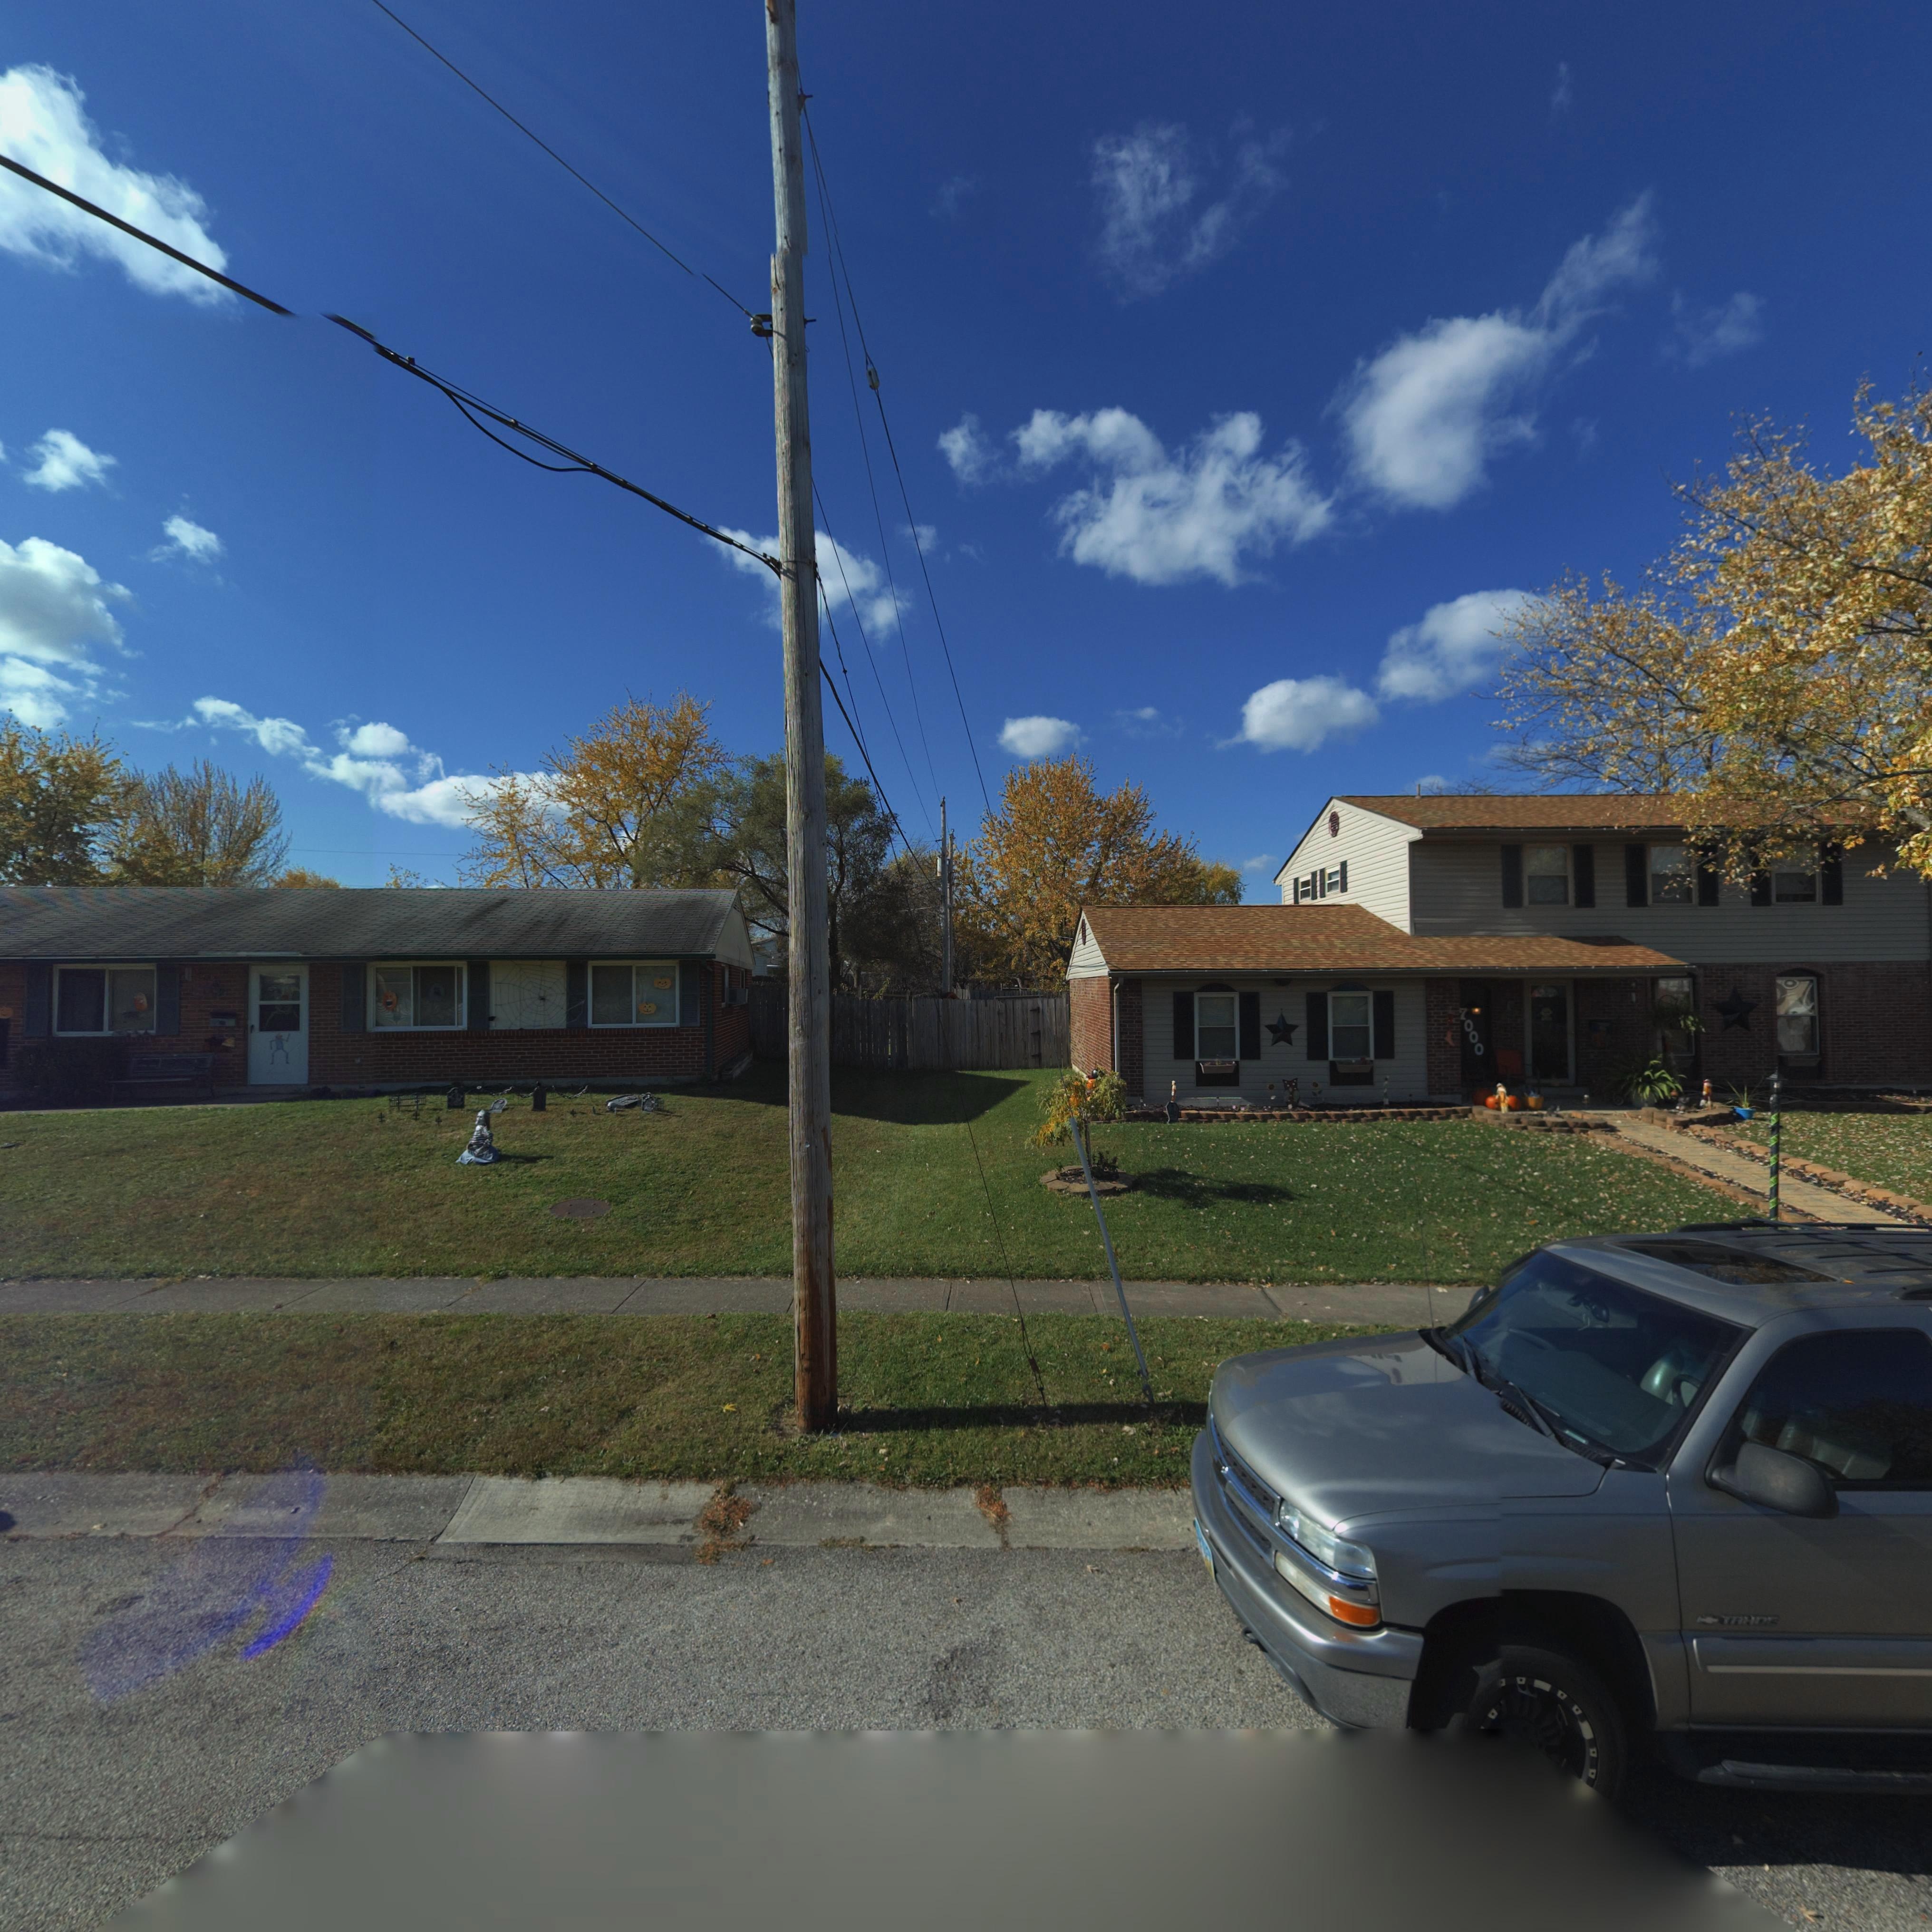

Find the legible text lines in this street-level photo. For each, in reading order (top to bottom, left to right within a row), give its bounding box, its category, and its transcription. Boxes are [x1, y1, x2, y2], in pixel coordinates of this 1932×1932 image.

[1459, 1006, 1486, 1057] StreetNumber: 7000